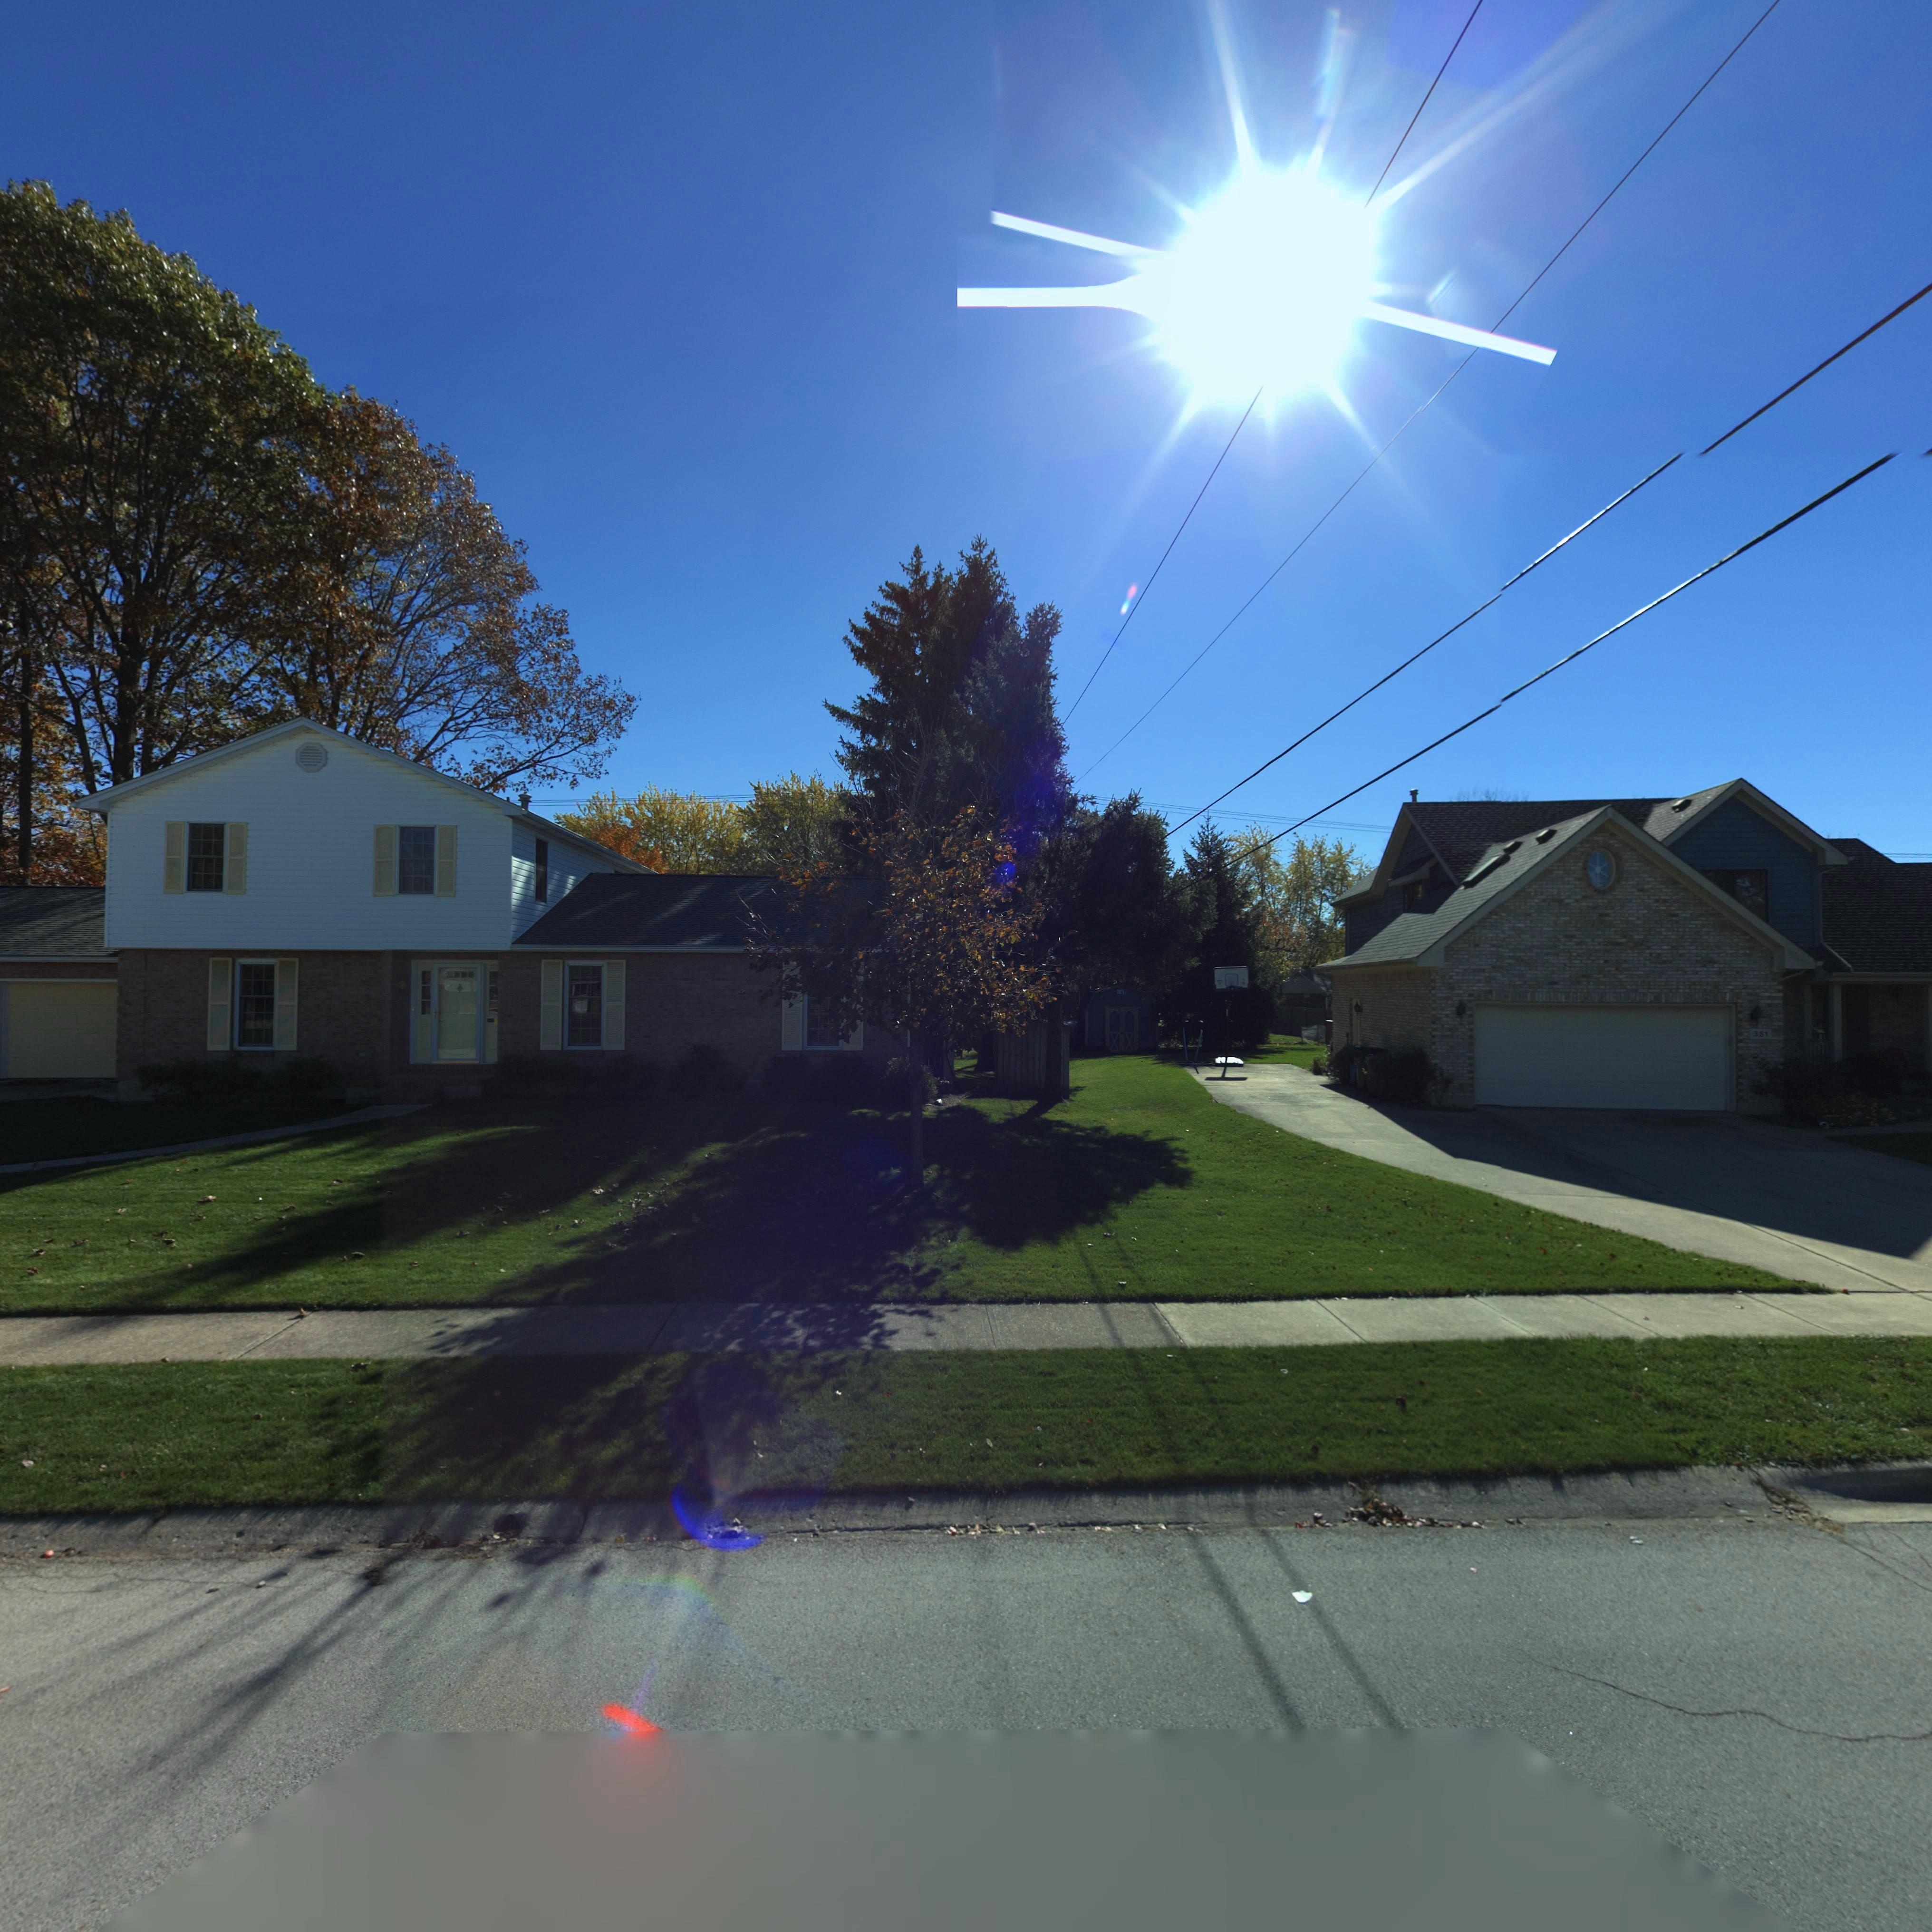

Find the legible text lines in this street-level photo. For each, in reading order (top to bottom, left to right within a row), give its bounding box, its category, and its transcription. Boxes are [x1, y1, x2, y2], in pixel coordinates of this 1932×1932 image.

[1752, 1030, 1769, 1038] StreetNumber: 351